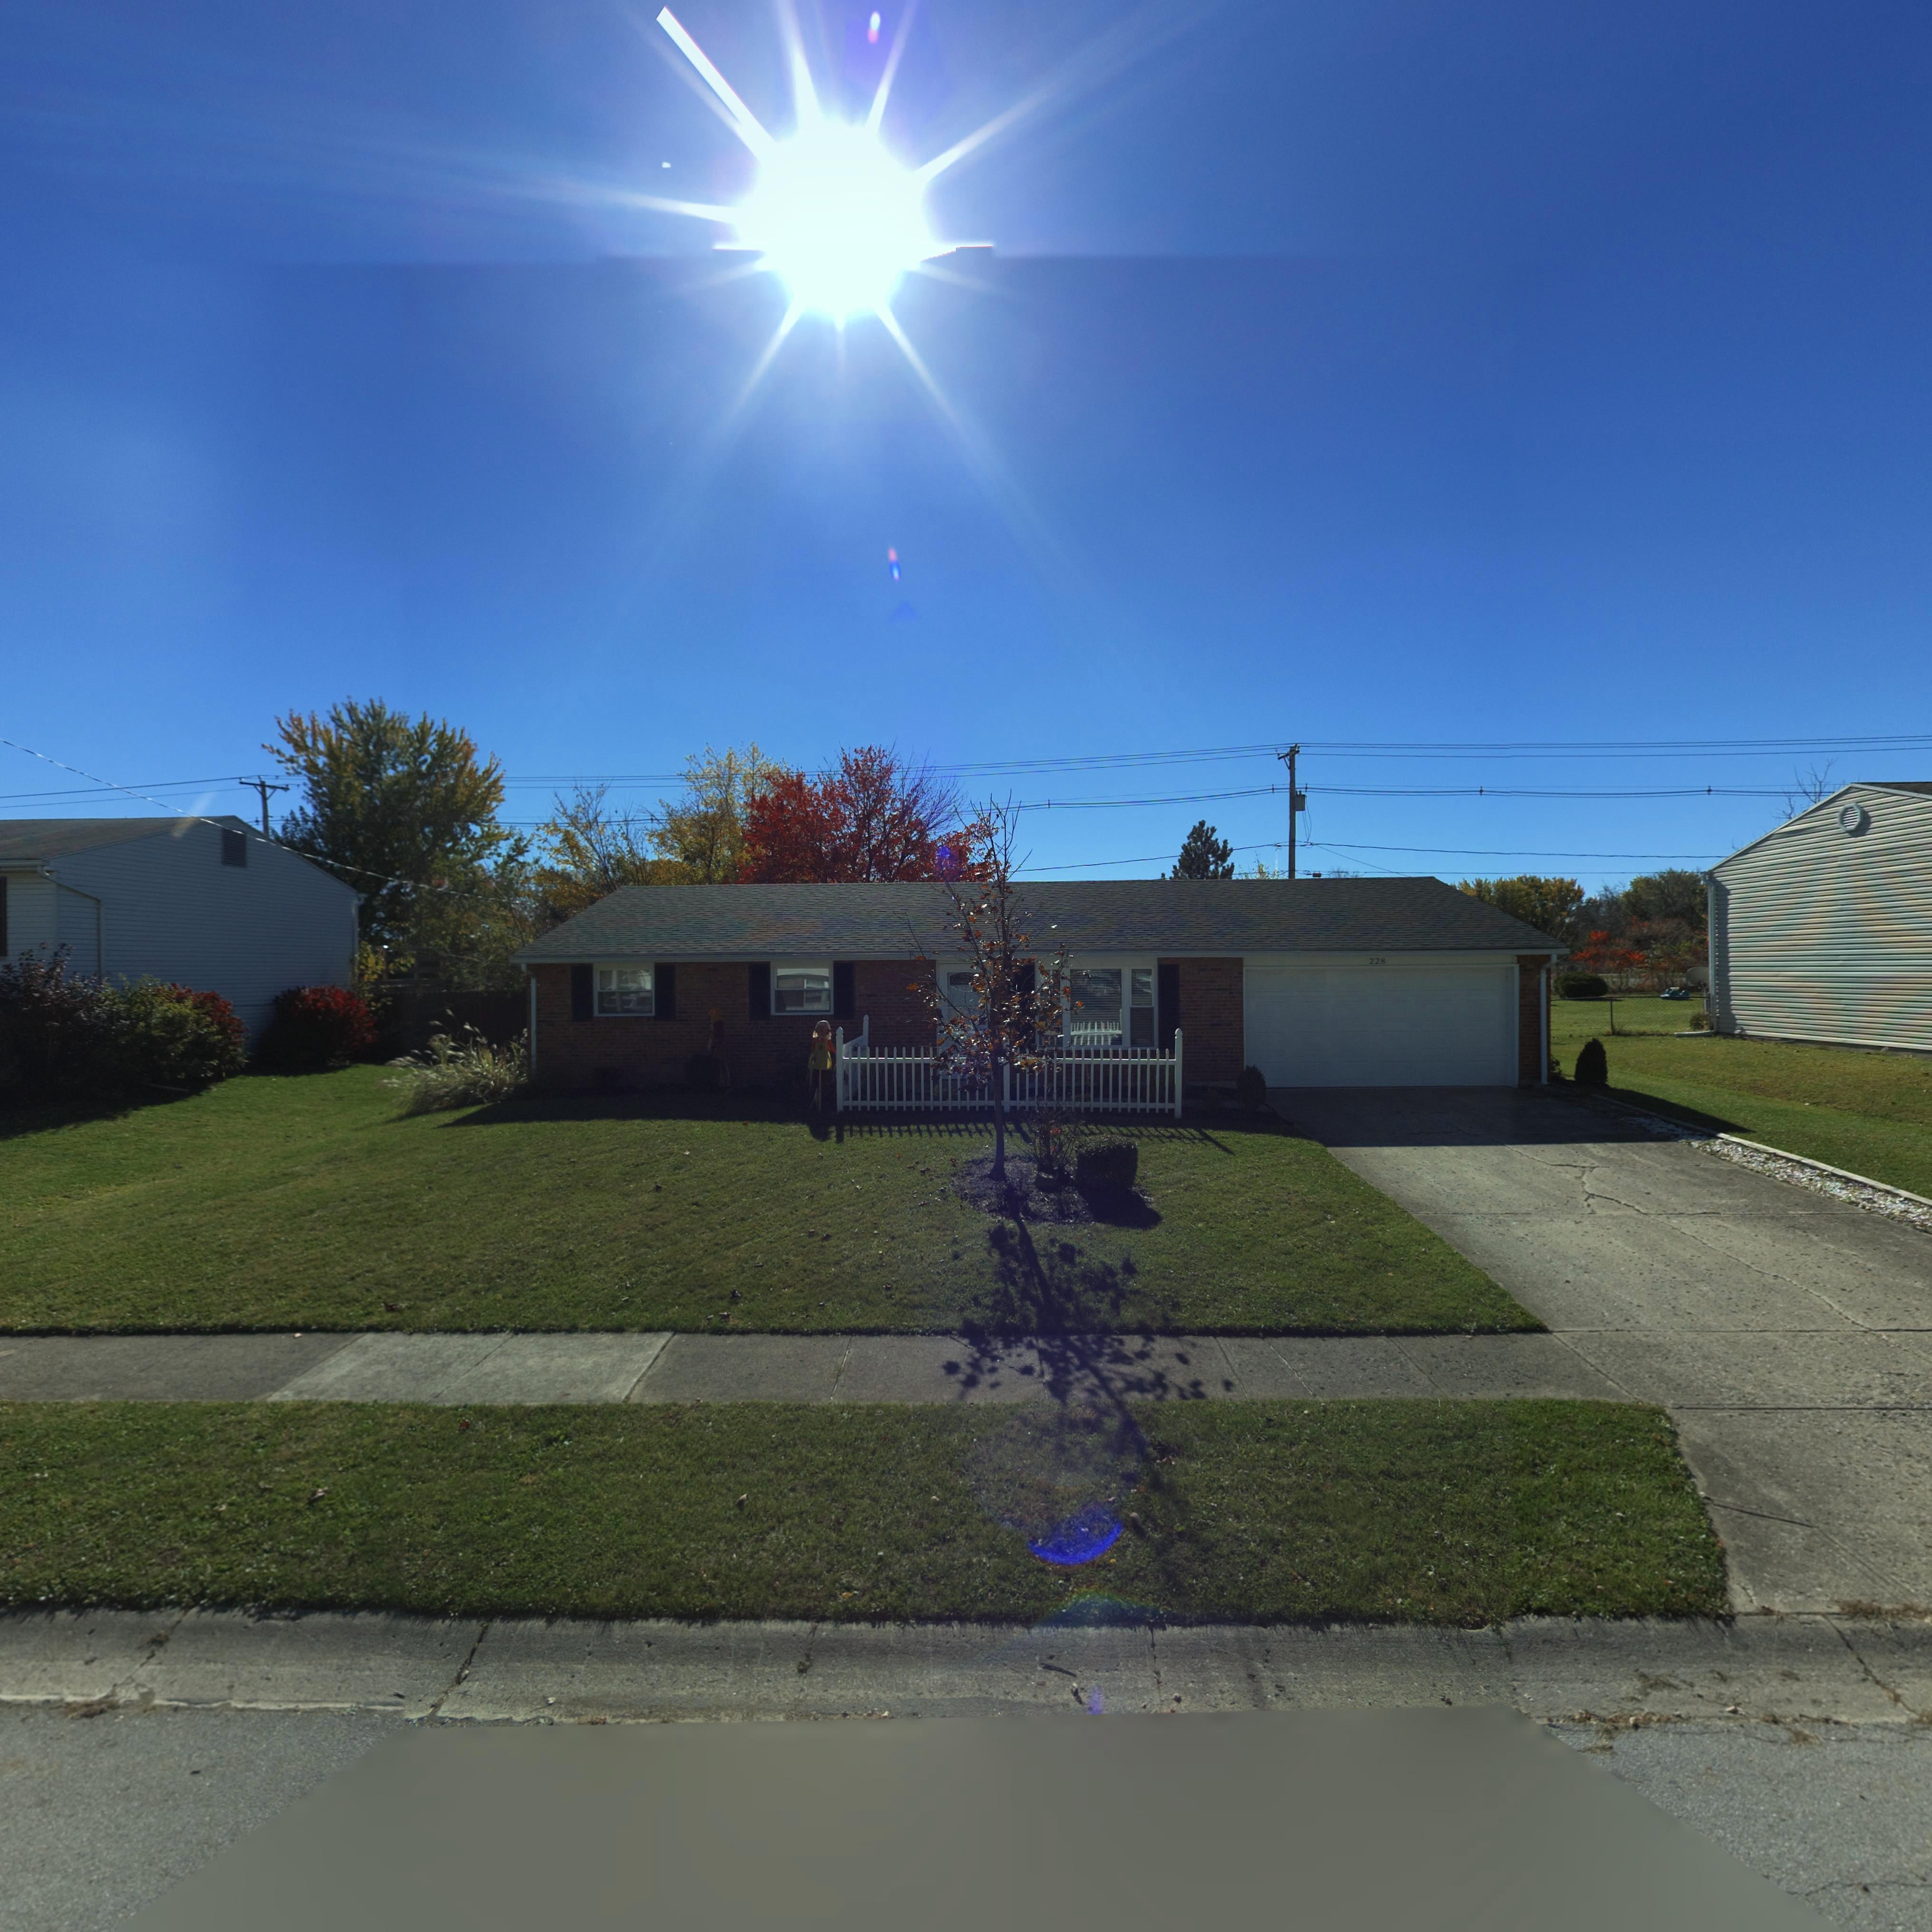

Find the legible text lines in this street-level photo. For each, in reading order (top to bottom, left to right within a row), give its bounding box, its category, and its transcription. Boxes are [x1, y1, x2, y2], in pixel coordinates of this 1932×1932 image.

[1369, 957, 1385, 965] StreetNumber: 228